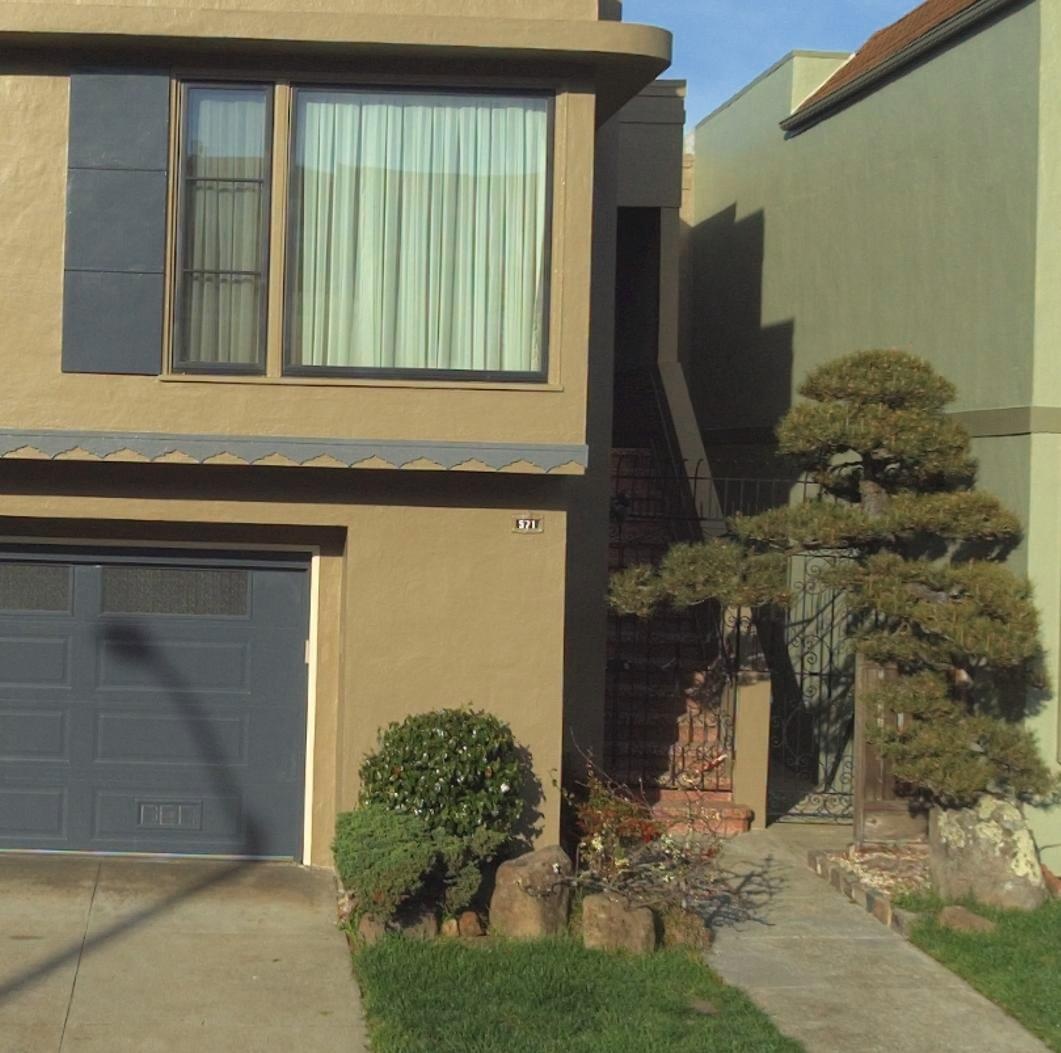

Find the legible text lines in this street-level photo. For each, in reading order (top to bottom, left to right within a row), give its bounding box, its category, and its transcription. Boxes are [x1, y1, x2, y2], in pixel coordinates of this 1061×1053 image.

[516, 518, 537, 530] StreetNumber: 571